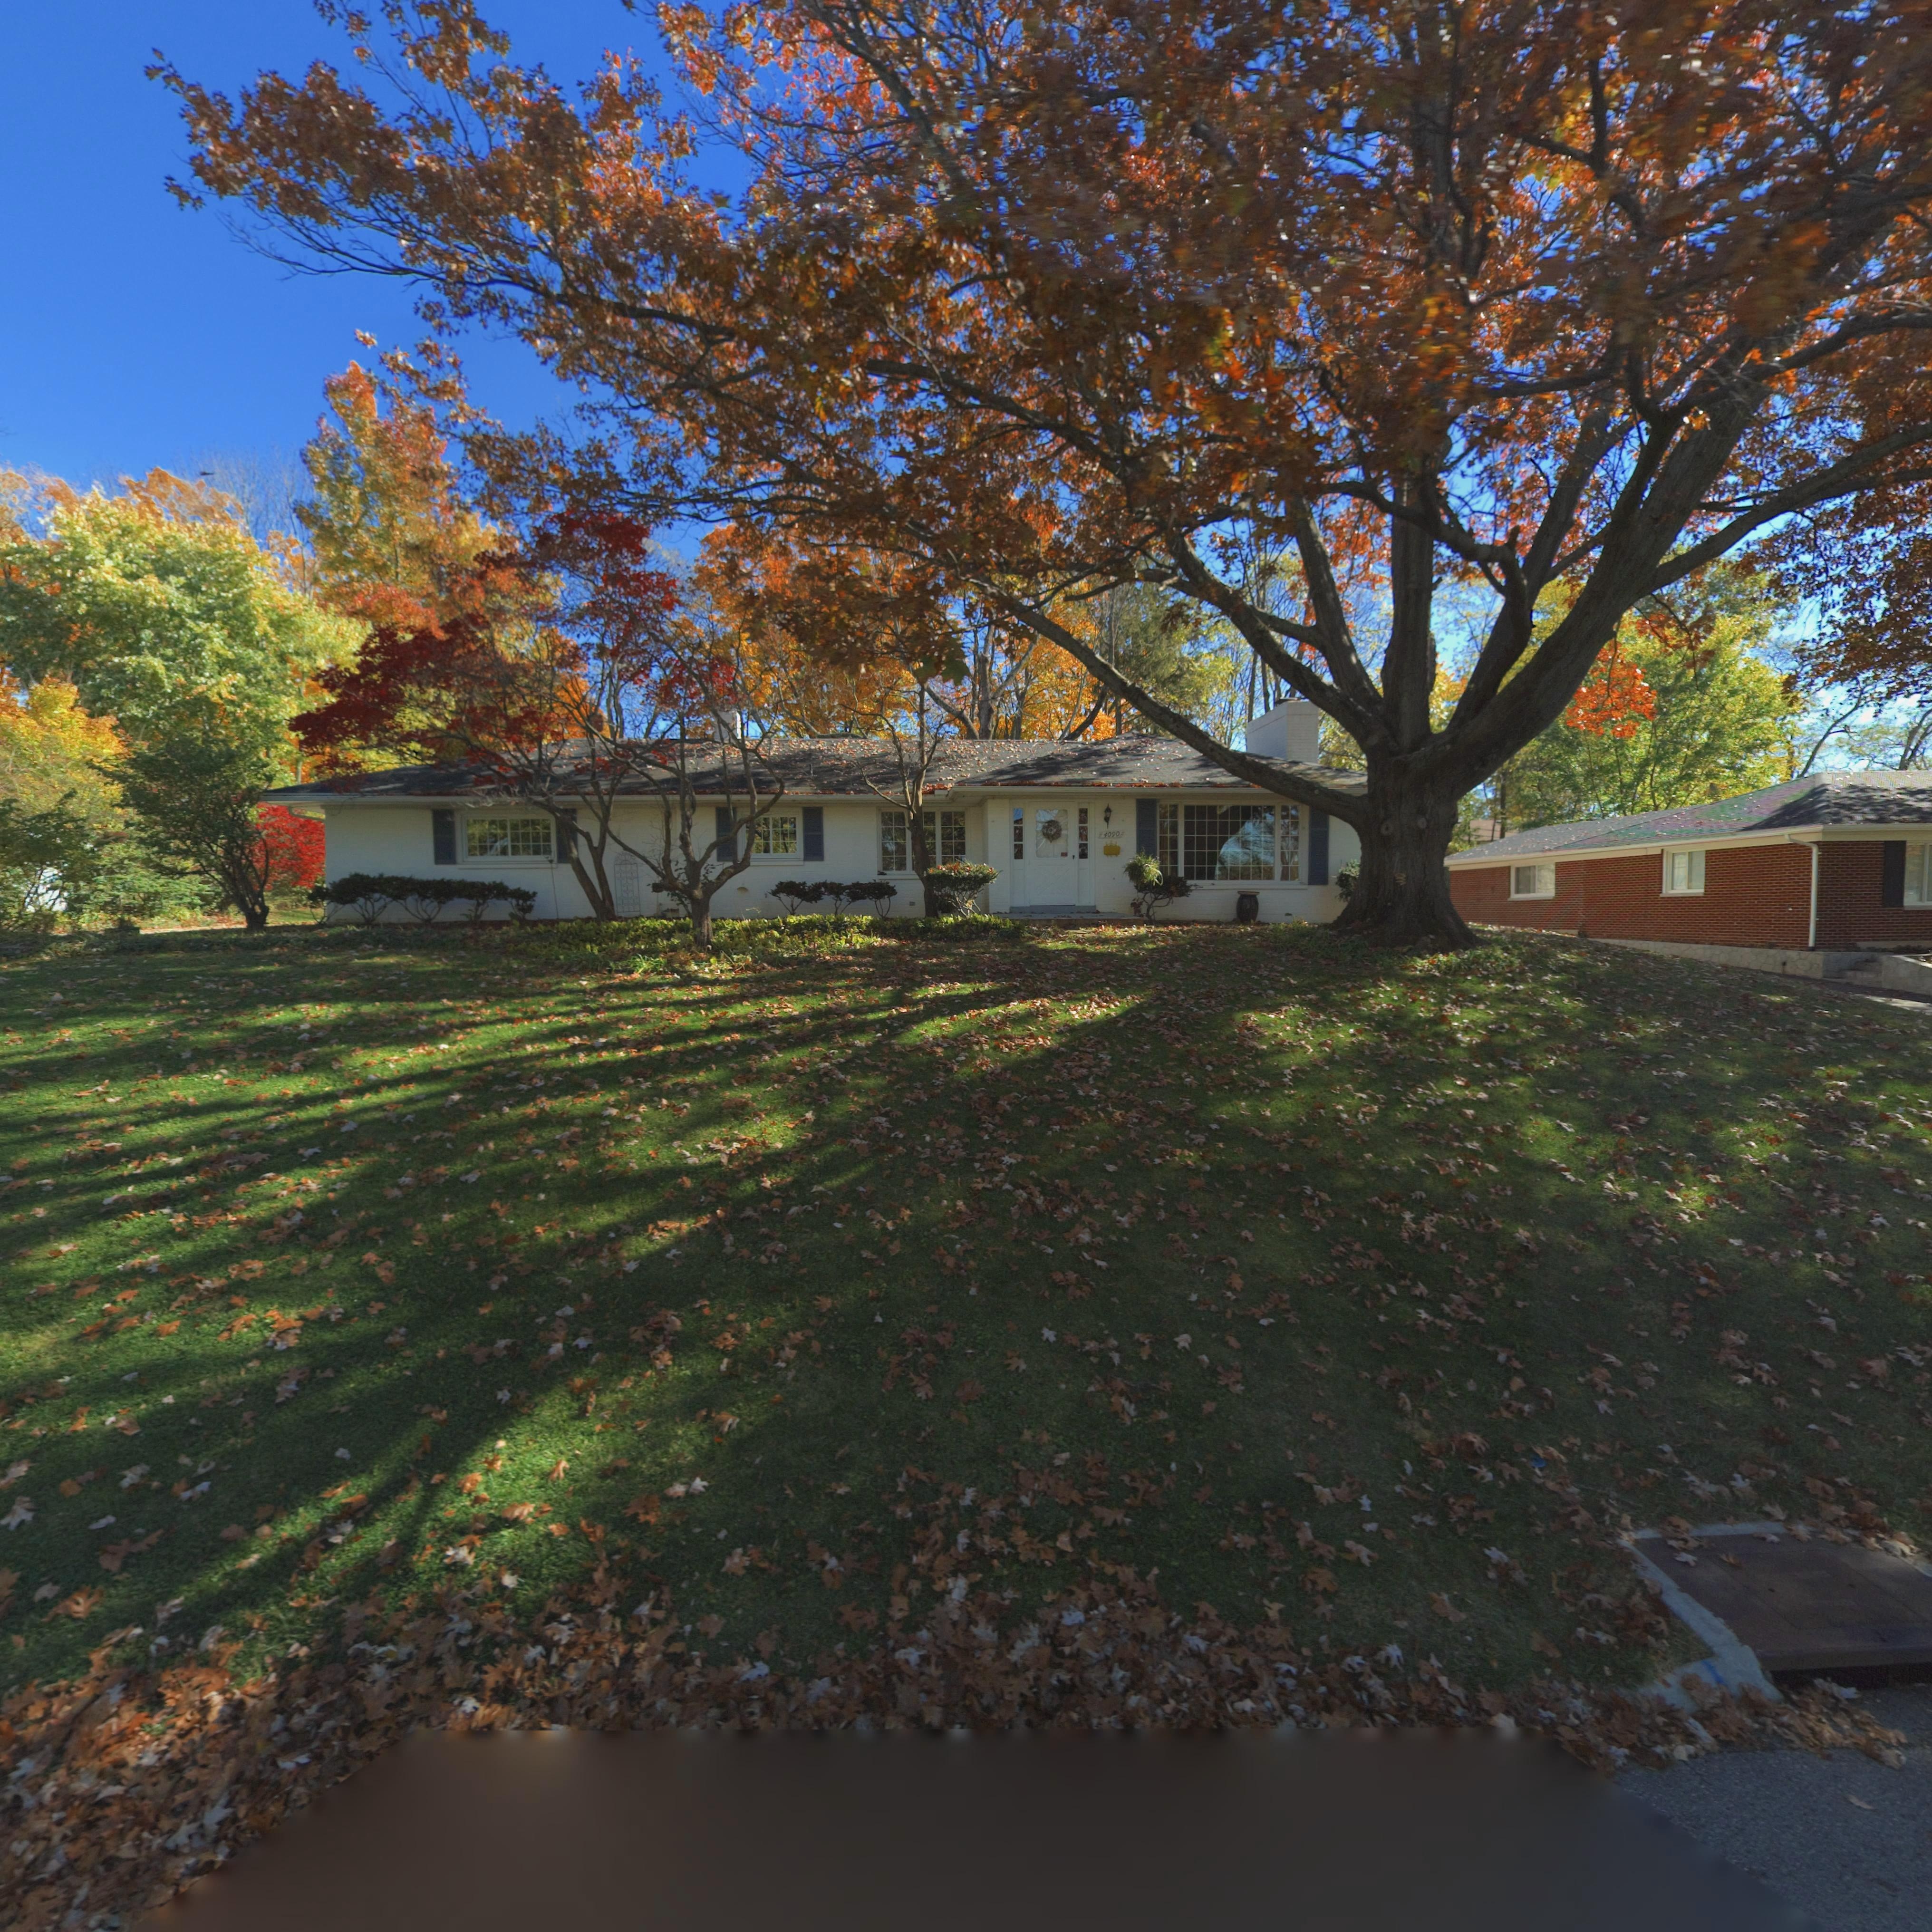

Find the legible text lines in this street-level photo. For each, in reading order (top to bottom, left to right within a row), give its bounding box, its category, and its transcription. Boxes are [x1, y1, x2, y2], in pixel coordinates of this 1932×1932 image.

[1103, 831, 1121, 839] StreetNumber: 4090